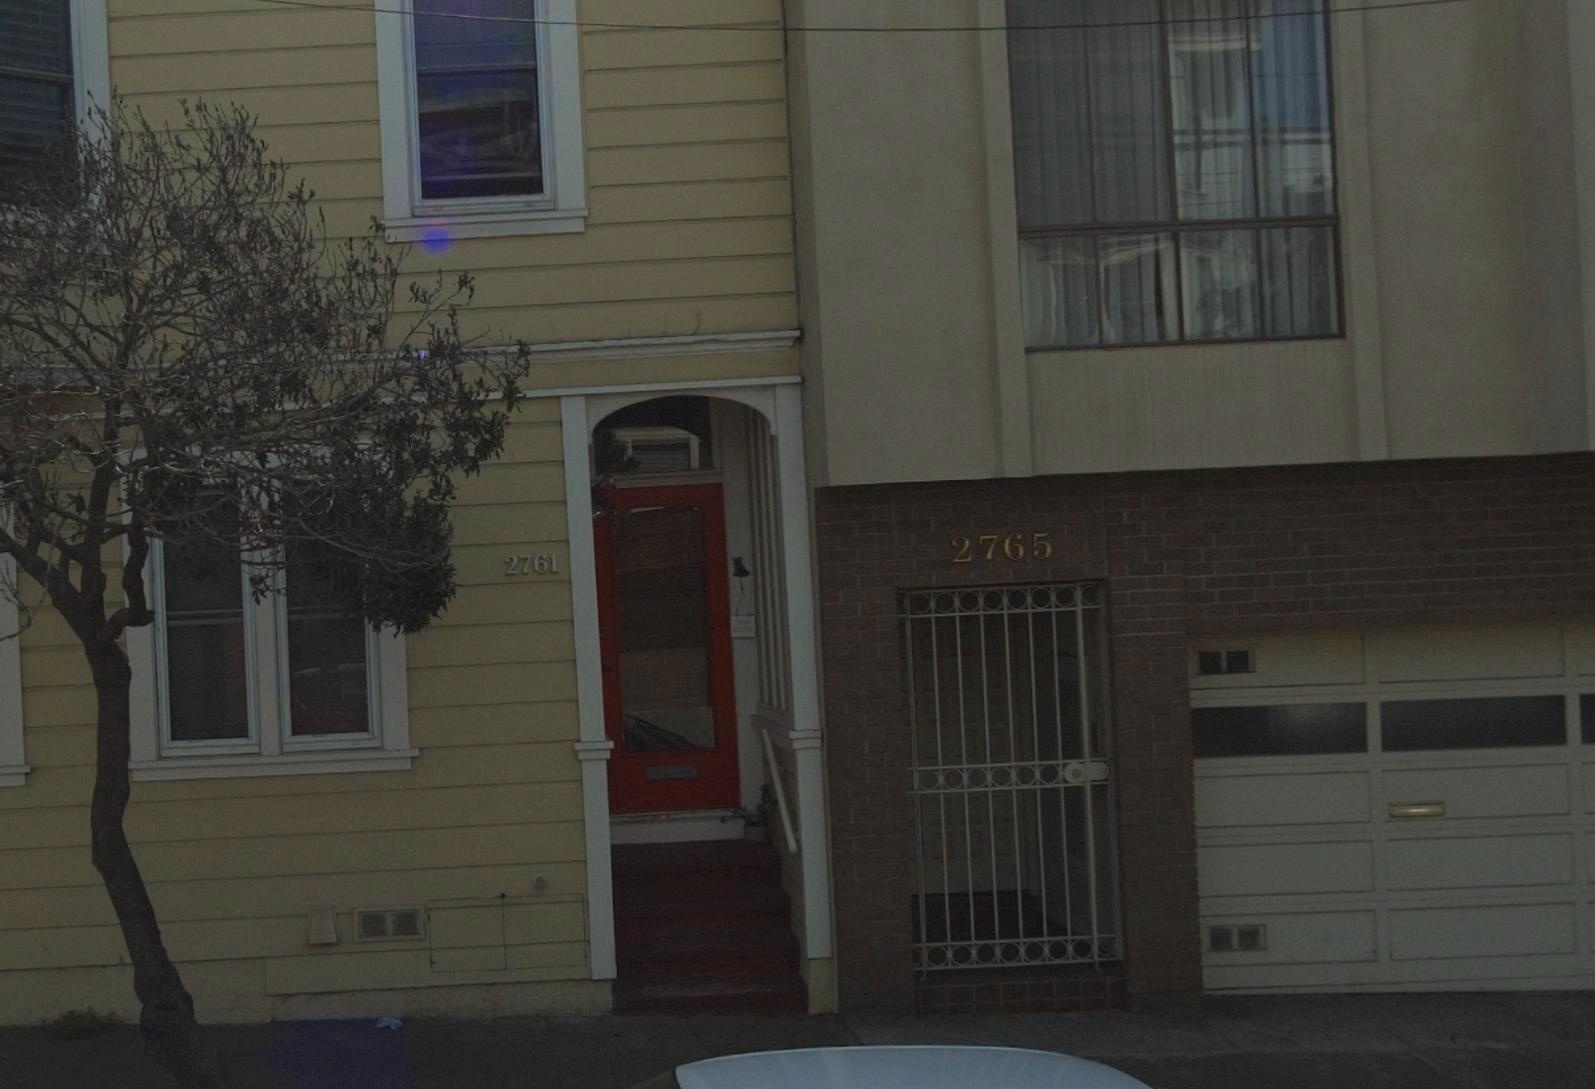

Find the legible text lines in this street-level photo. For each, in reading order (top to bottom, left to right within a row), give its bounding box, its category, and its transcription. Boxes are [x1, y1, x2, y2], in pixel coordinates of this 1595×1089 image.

[502, 551, 560, 577] StreetNumber: 2761
[949, 529, 1054, 565] StreetNumber: 2765